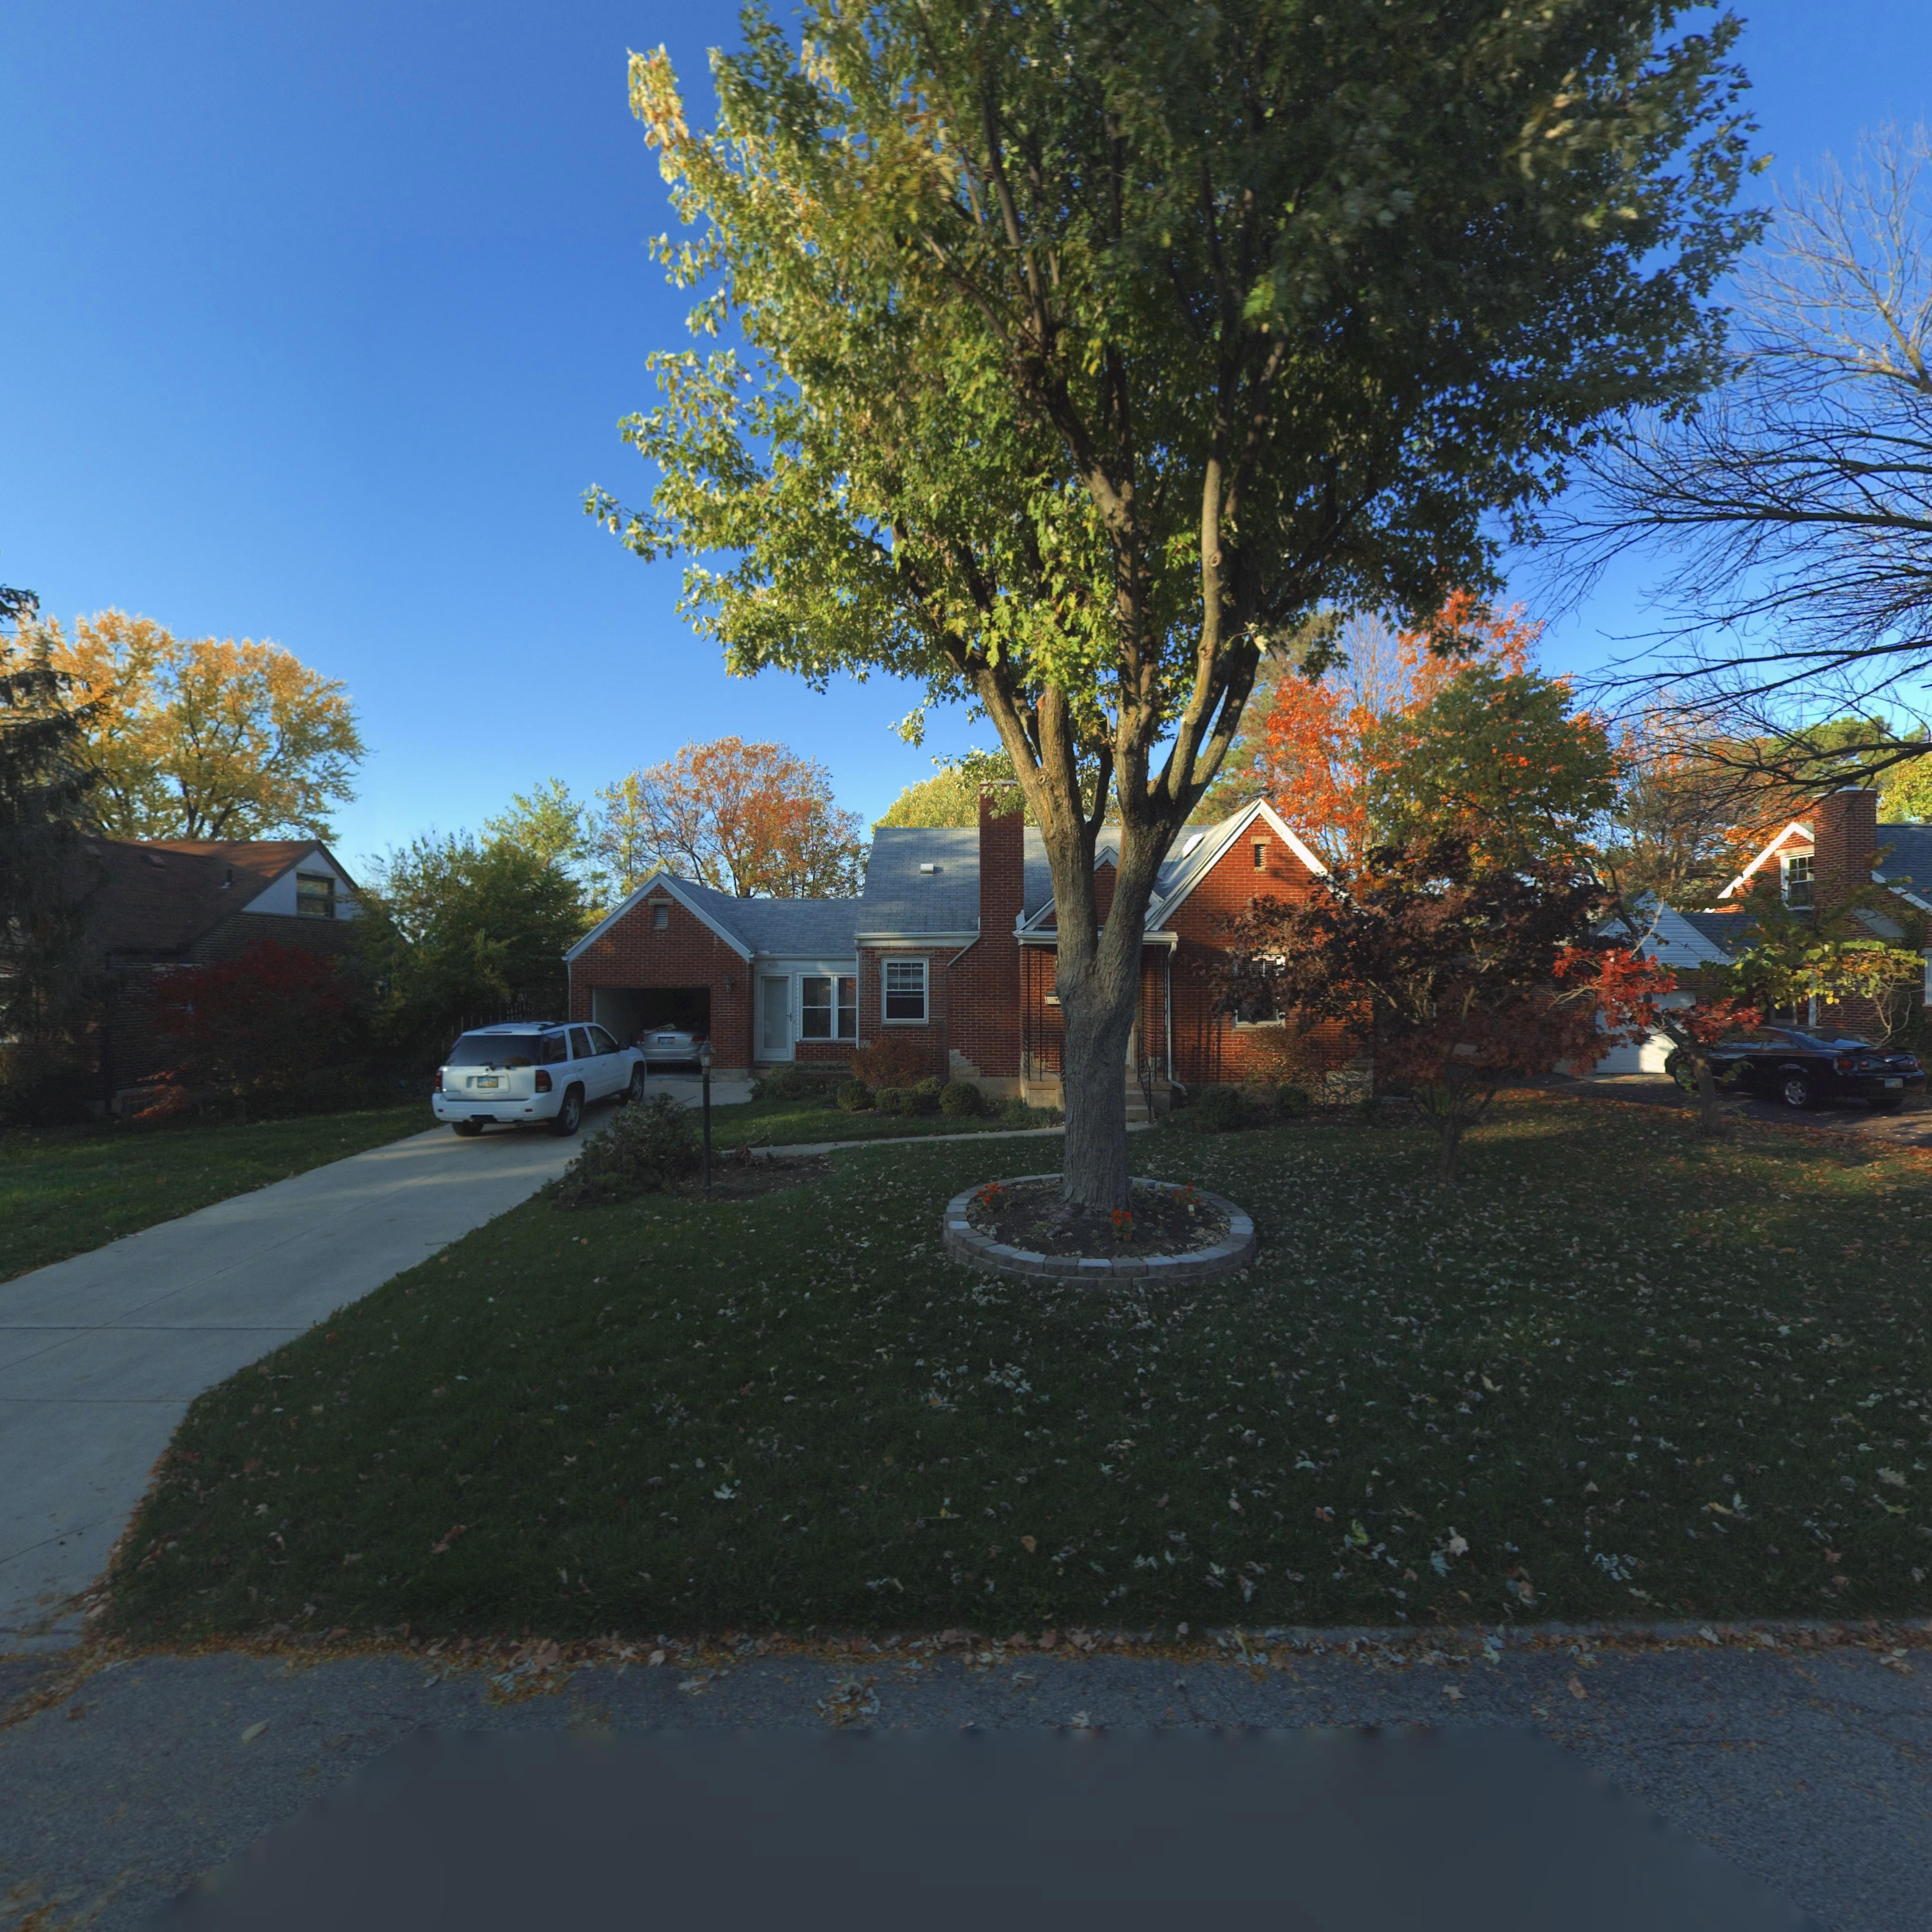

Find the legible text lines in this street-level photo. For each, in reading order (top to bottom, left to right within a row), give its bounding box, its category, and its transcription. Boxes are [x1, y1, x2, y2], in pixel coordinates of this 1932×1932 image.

[767, 962, 778, 968] StreetNumber: 409